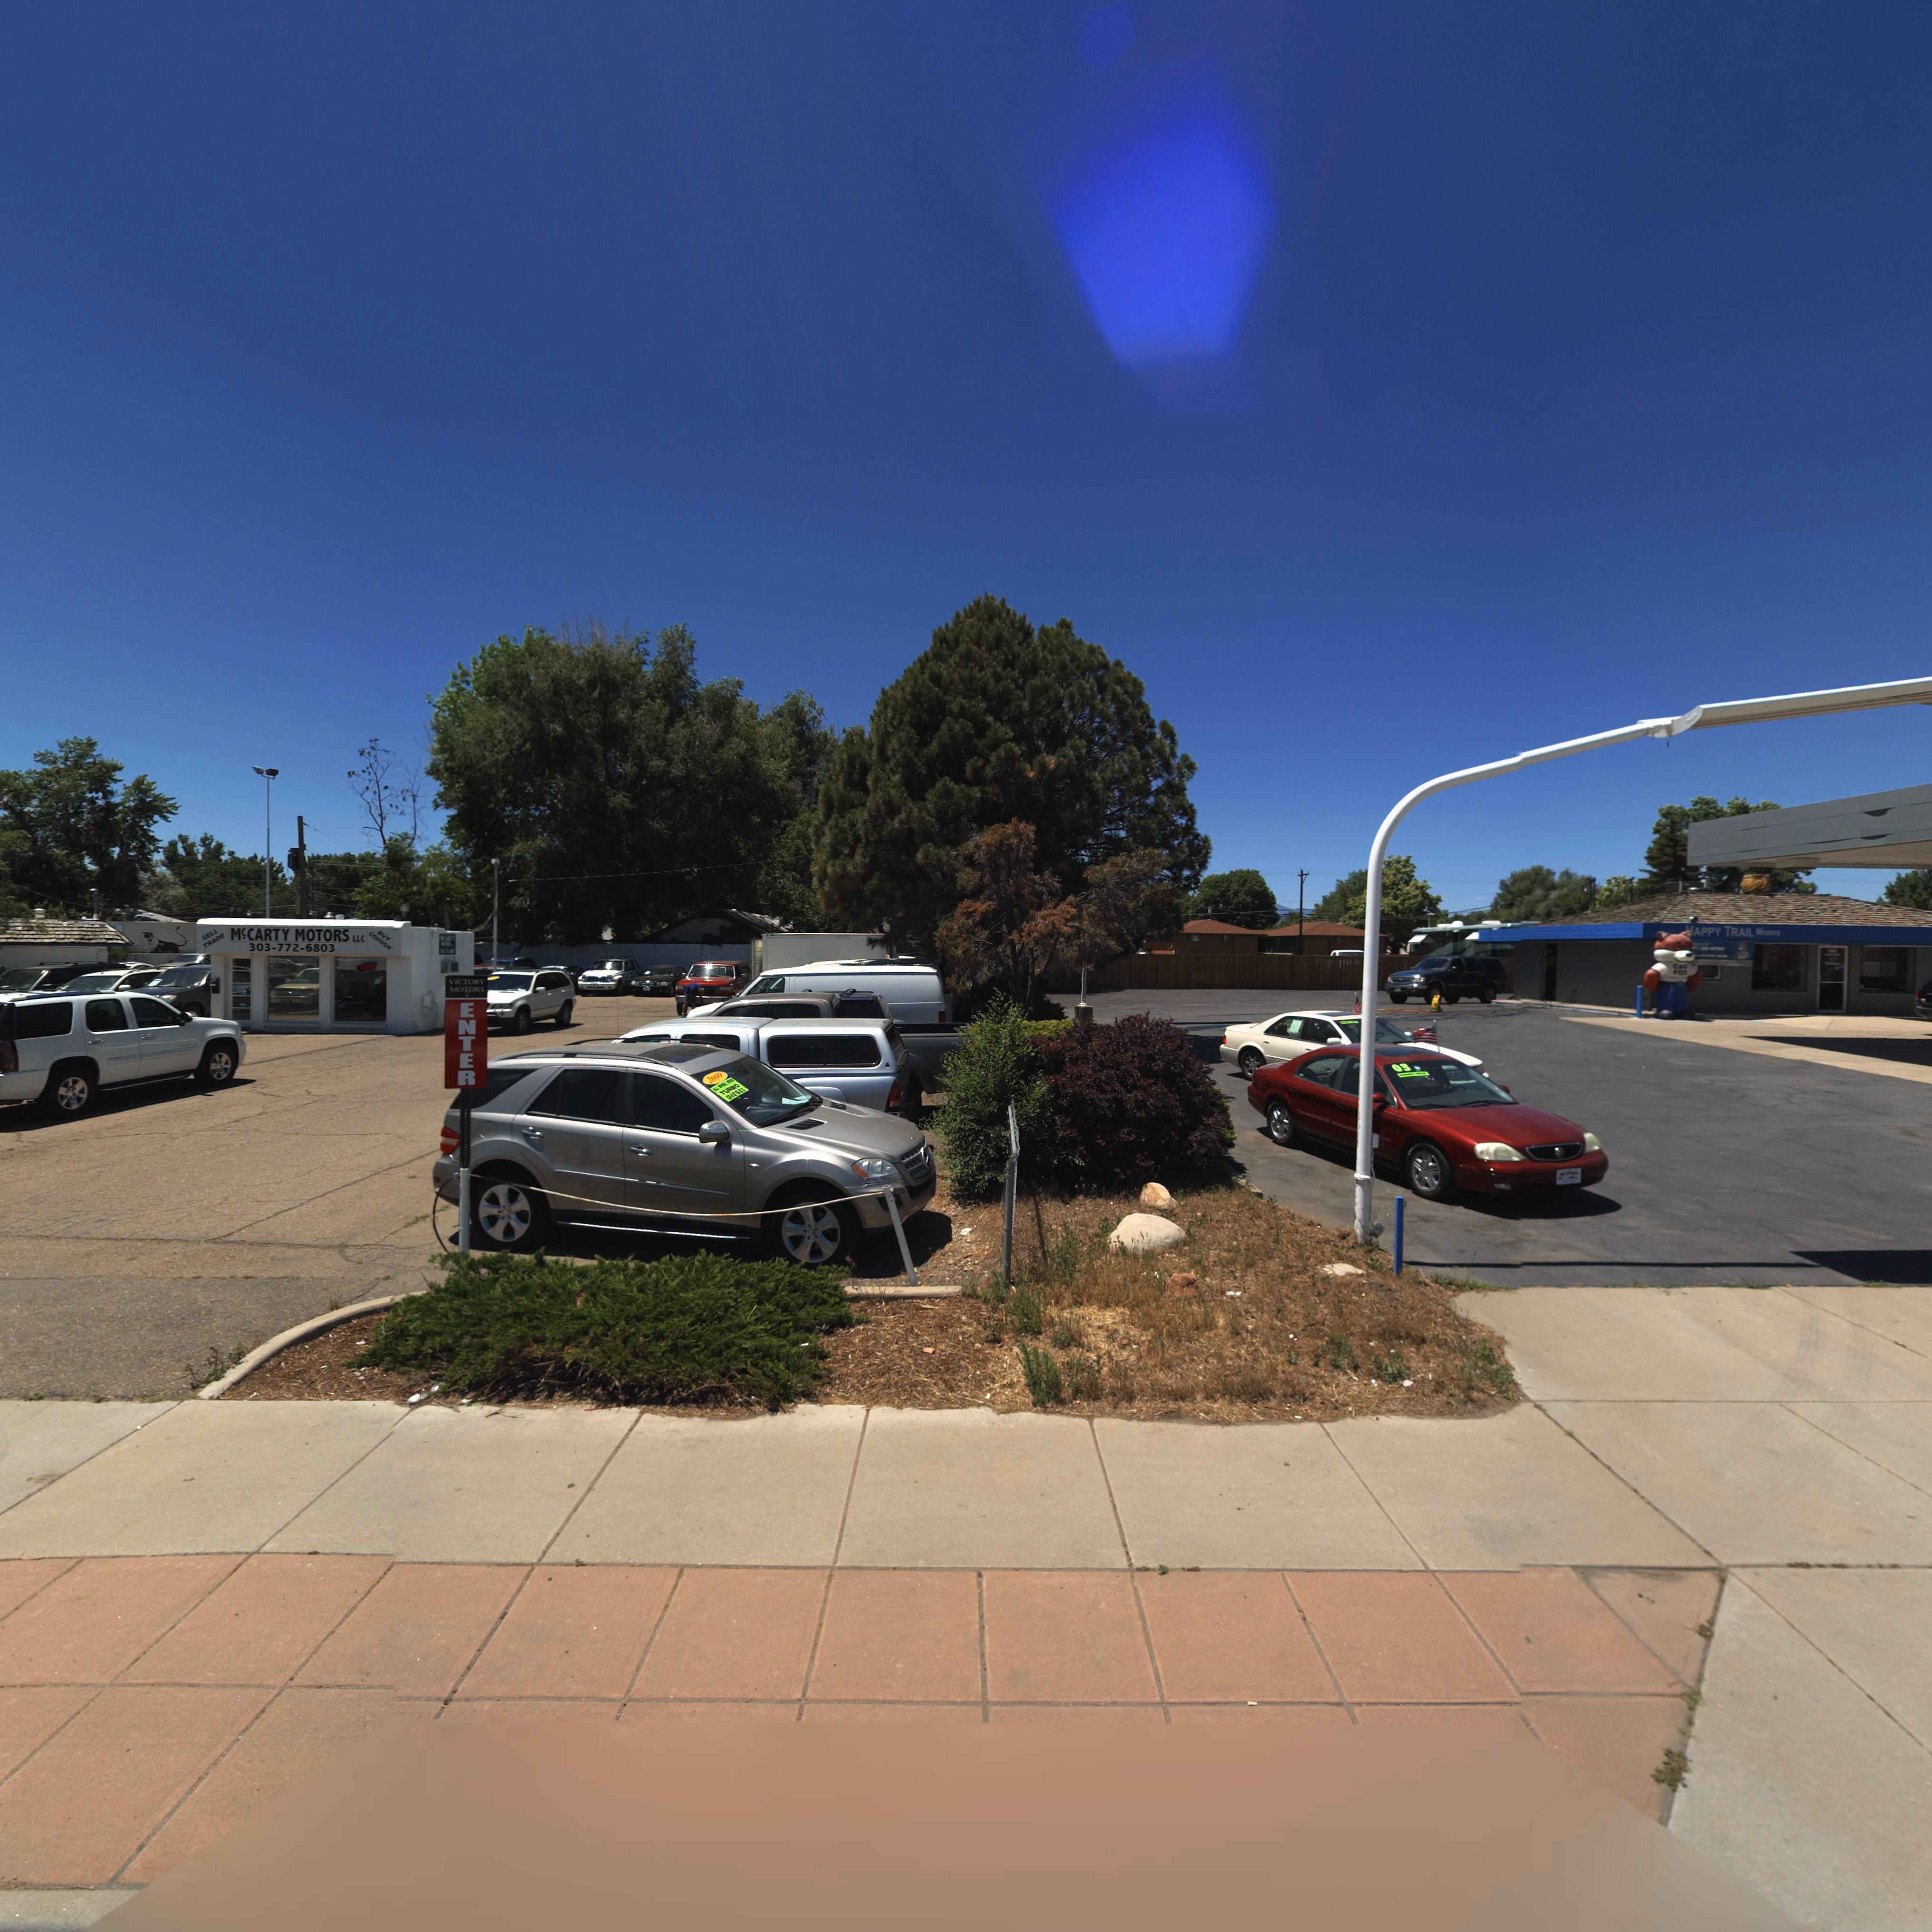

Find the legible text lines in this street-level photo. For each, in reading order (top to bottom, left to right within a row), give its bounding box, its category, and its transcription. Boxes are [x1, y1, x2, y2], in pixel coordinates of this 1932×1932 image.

[230, 927, 350, 942] BusinessName: McCARTY MOTORS
[1685, 925, 1755, 937] BusinessName: HAPPY TRAIL
[1755, 927, 1781, 936] BusinessName: Motors